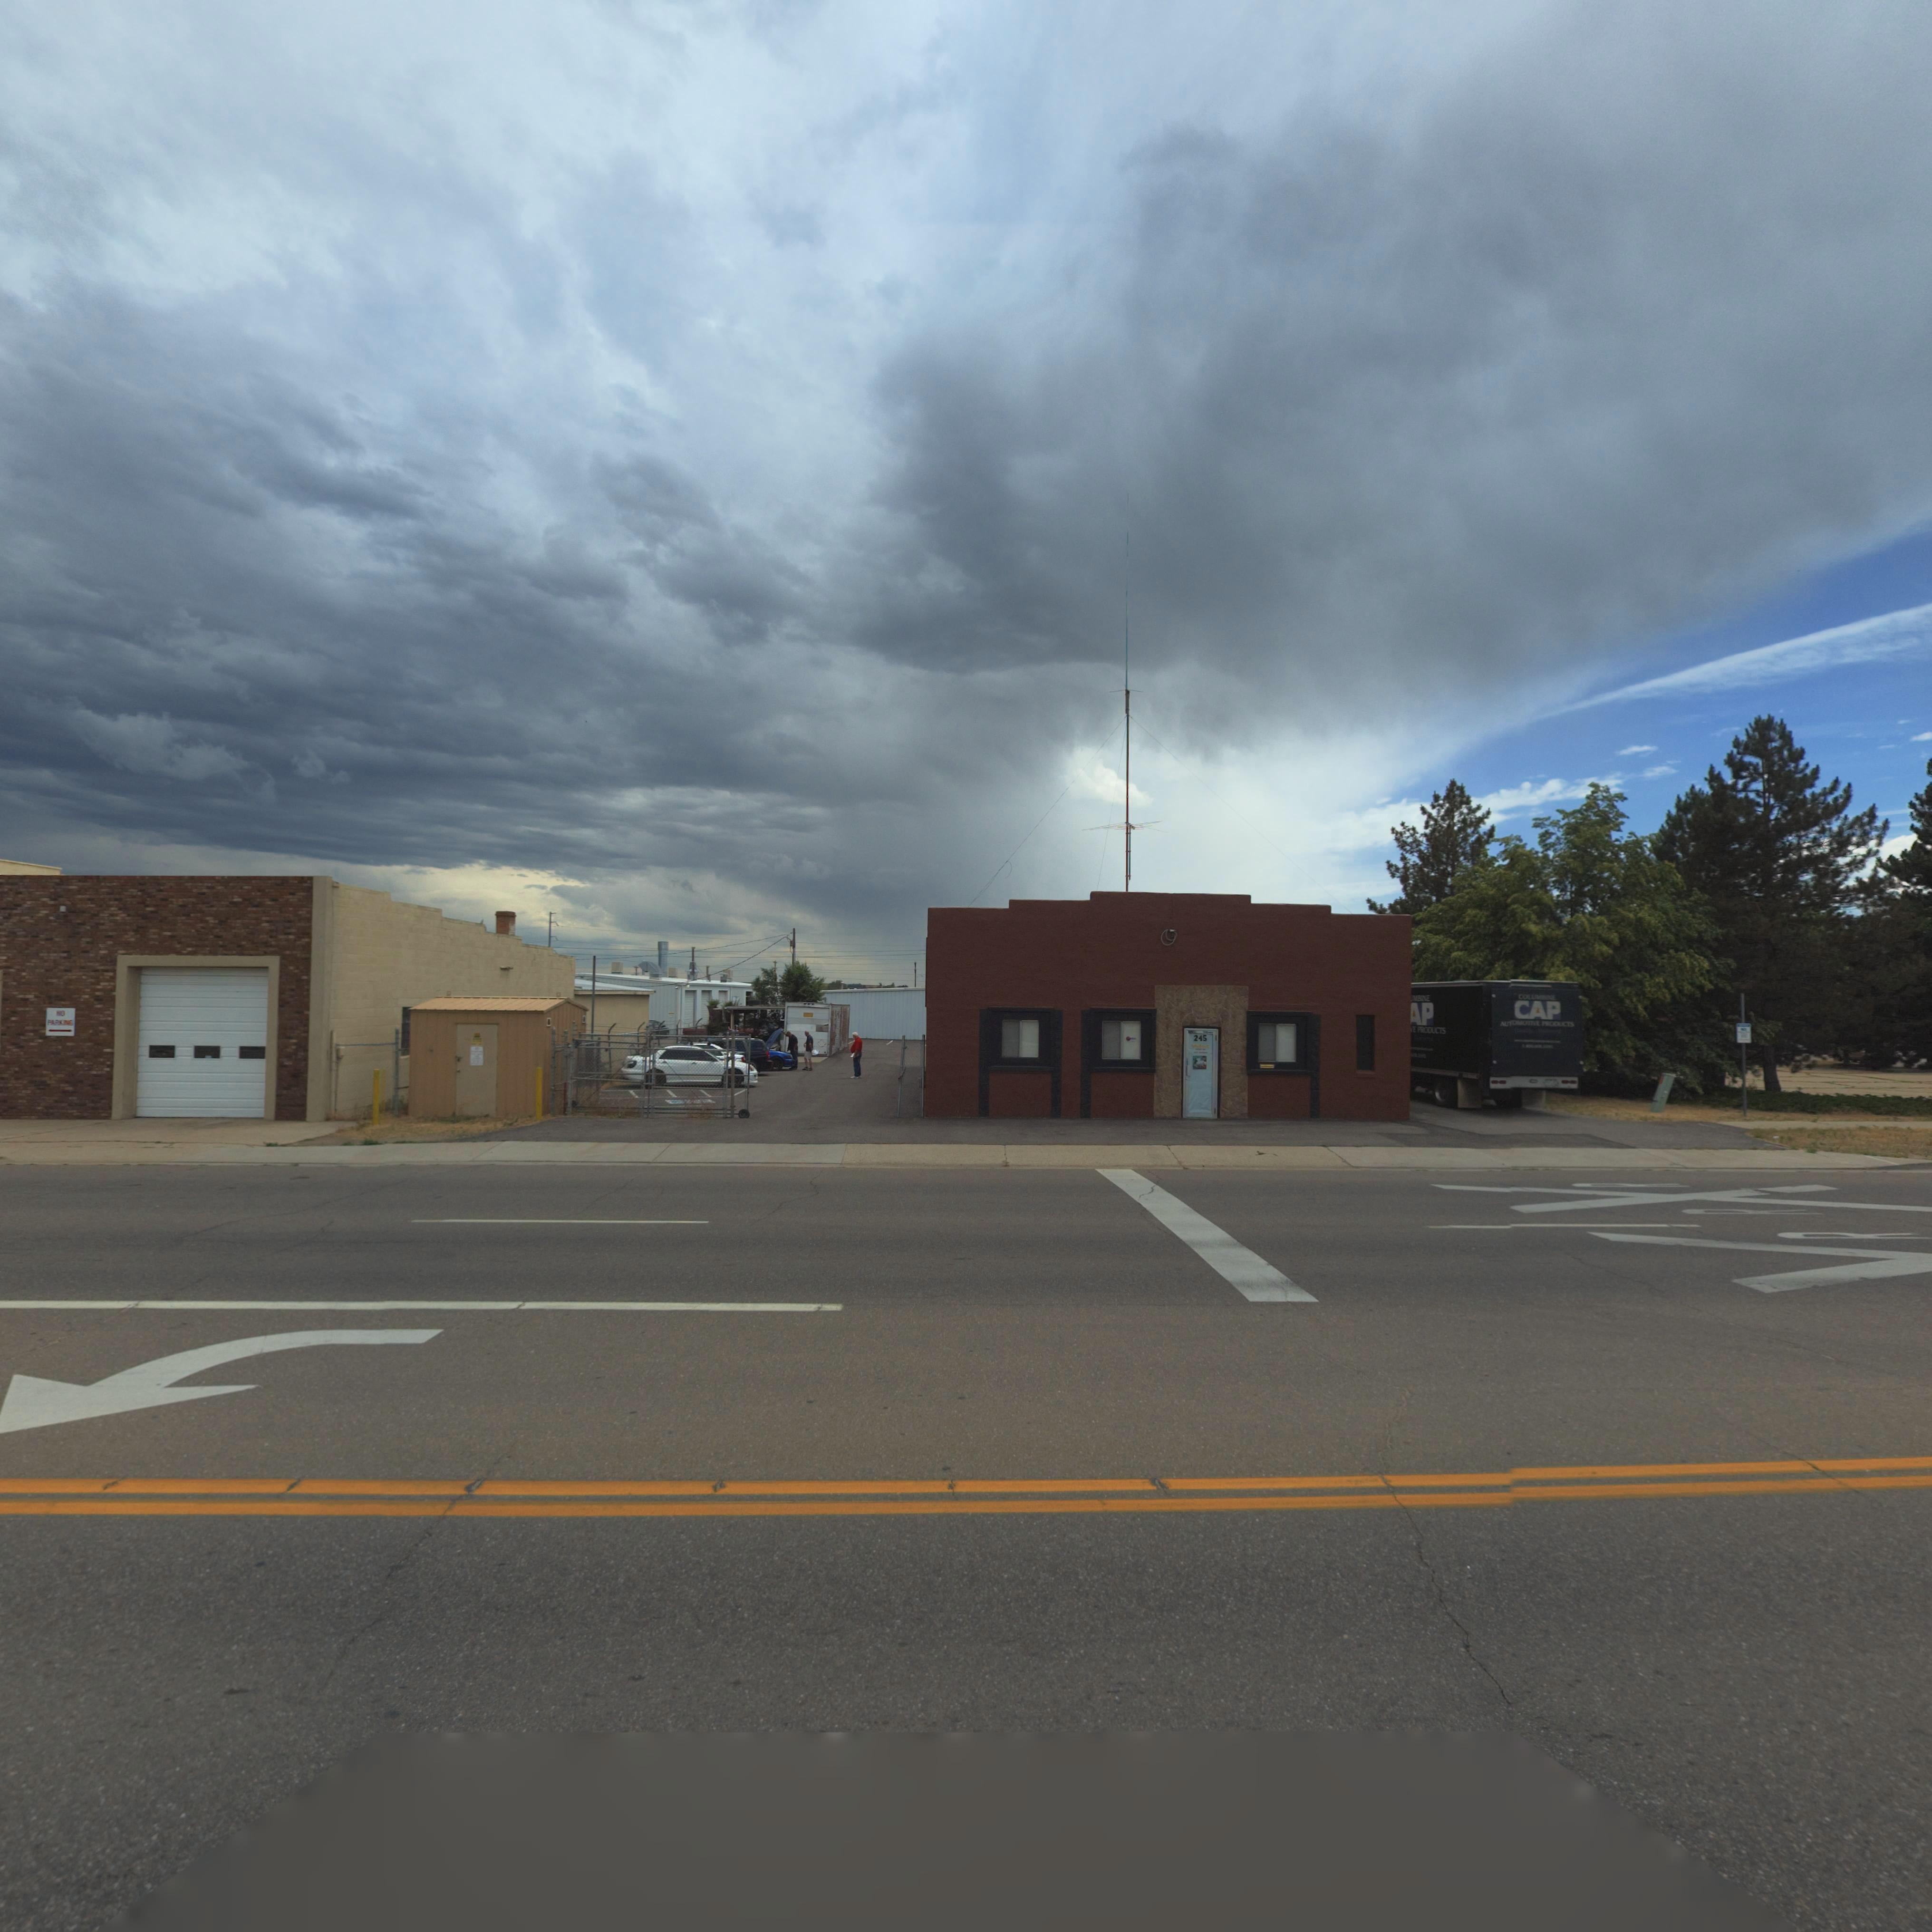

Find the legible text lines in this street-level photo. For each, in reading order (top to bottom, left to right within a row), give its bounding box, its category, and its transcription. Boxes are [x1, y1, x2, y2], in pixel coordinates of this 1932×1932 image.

[1193, 1034, 1207, 1041] StreetNumber: 245